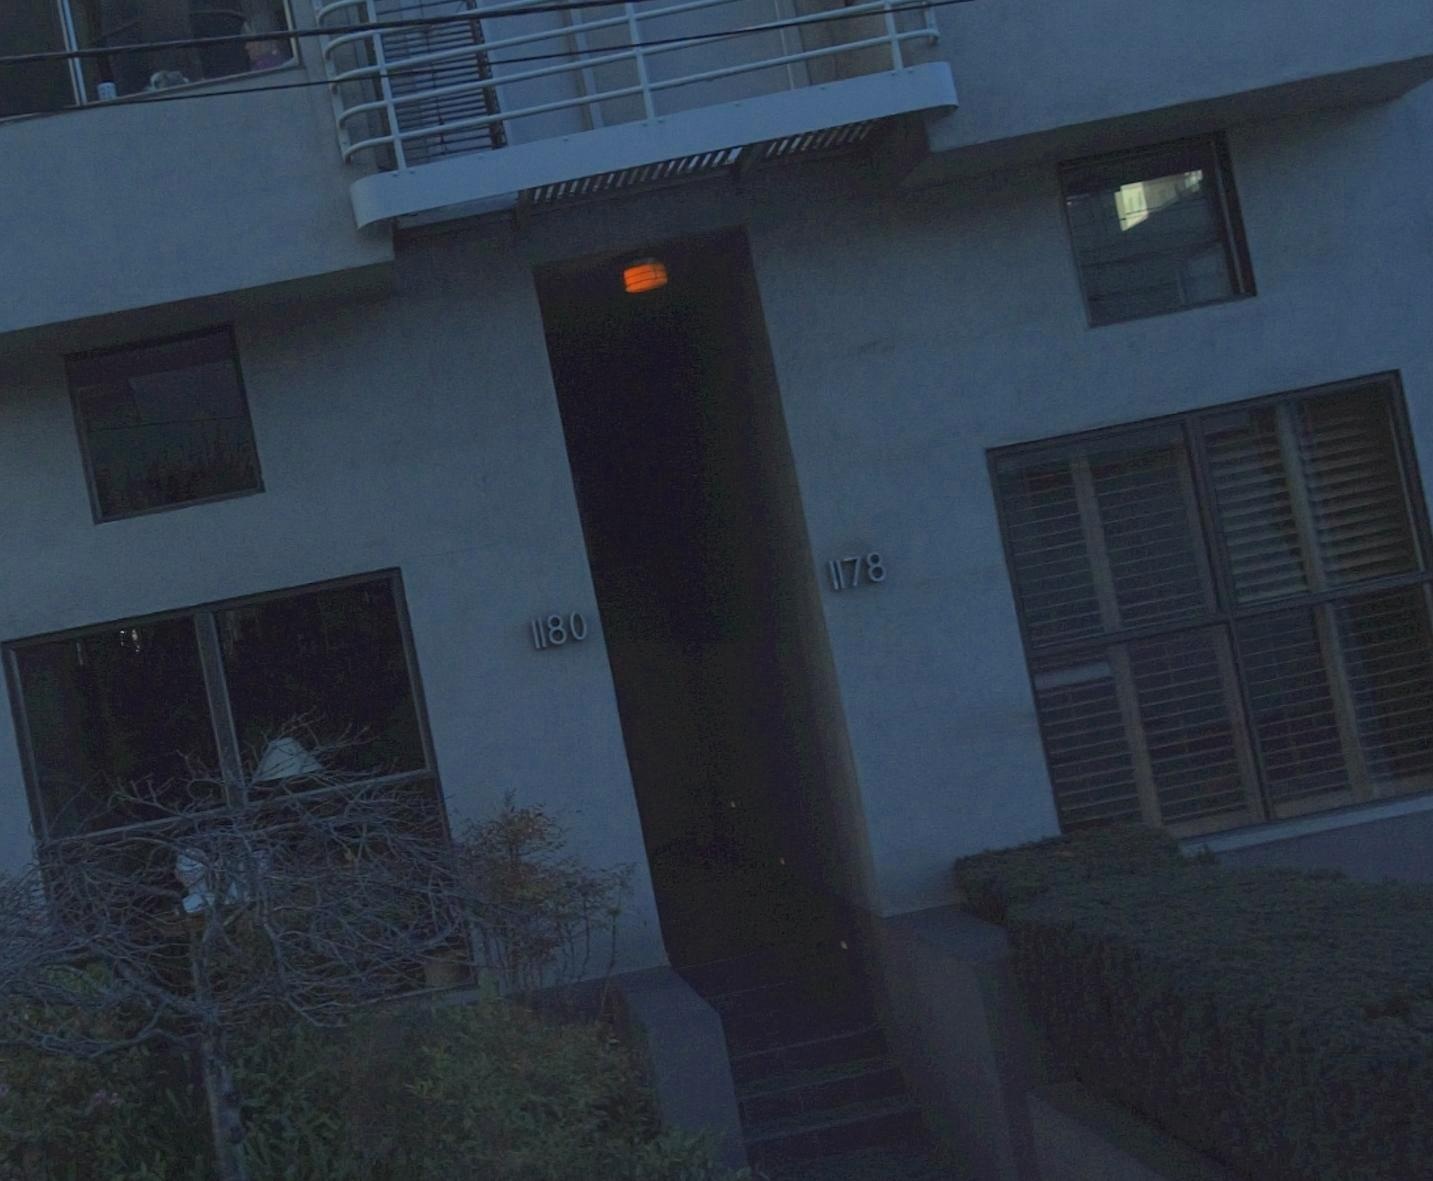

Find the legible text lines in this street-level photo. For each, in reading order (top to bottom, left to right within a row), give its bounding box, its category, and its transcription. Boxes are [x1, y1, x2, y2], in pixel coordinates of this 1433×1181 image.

[826, 548, 889, 593] StreetNumber: 1178
[527, 607, 592, 652] StreetNumber: 1180